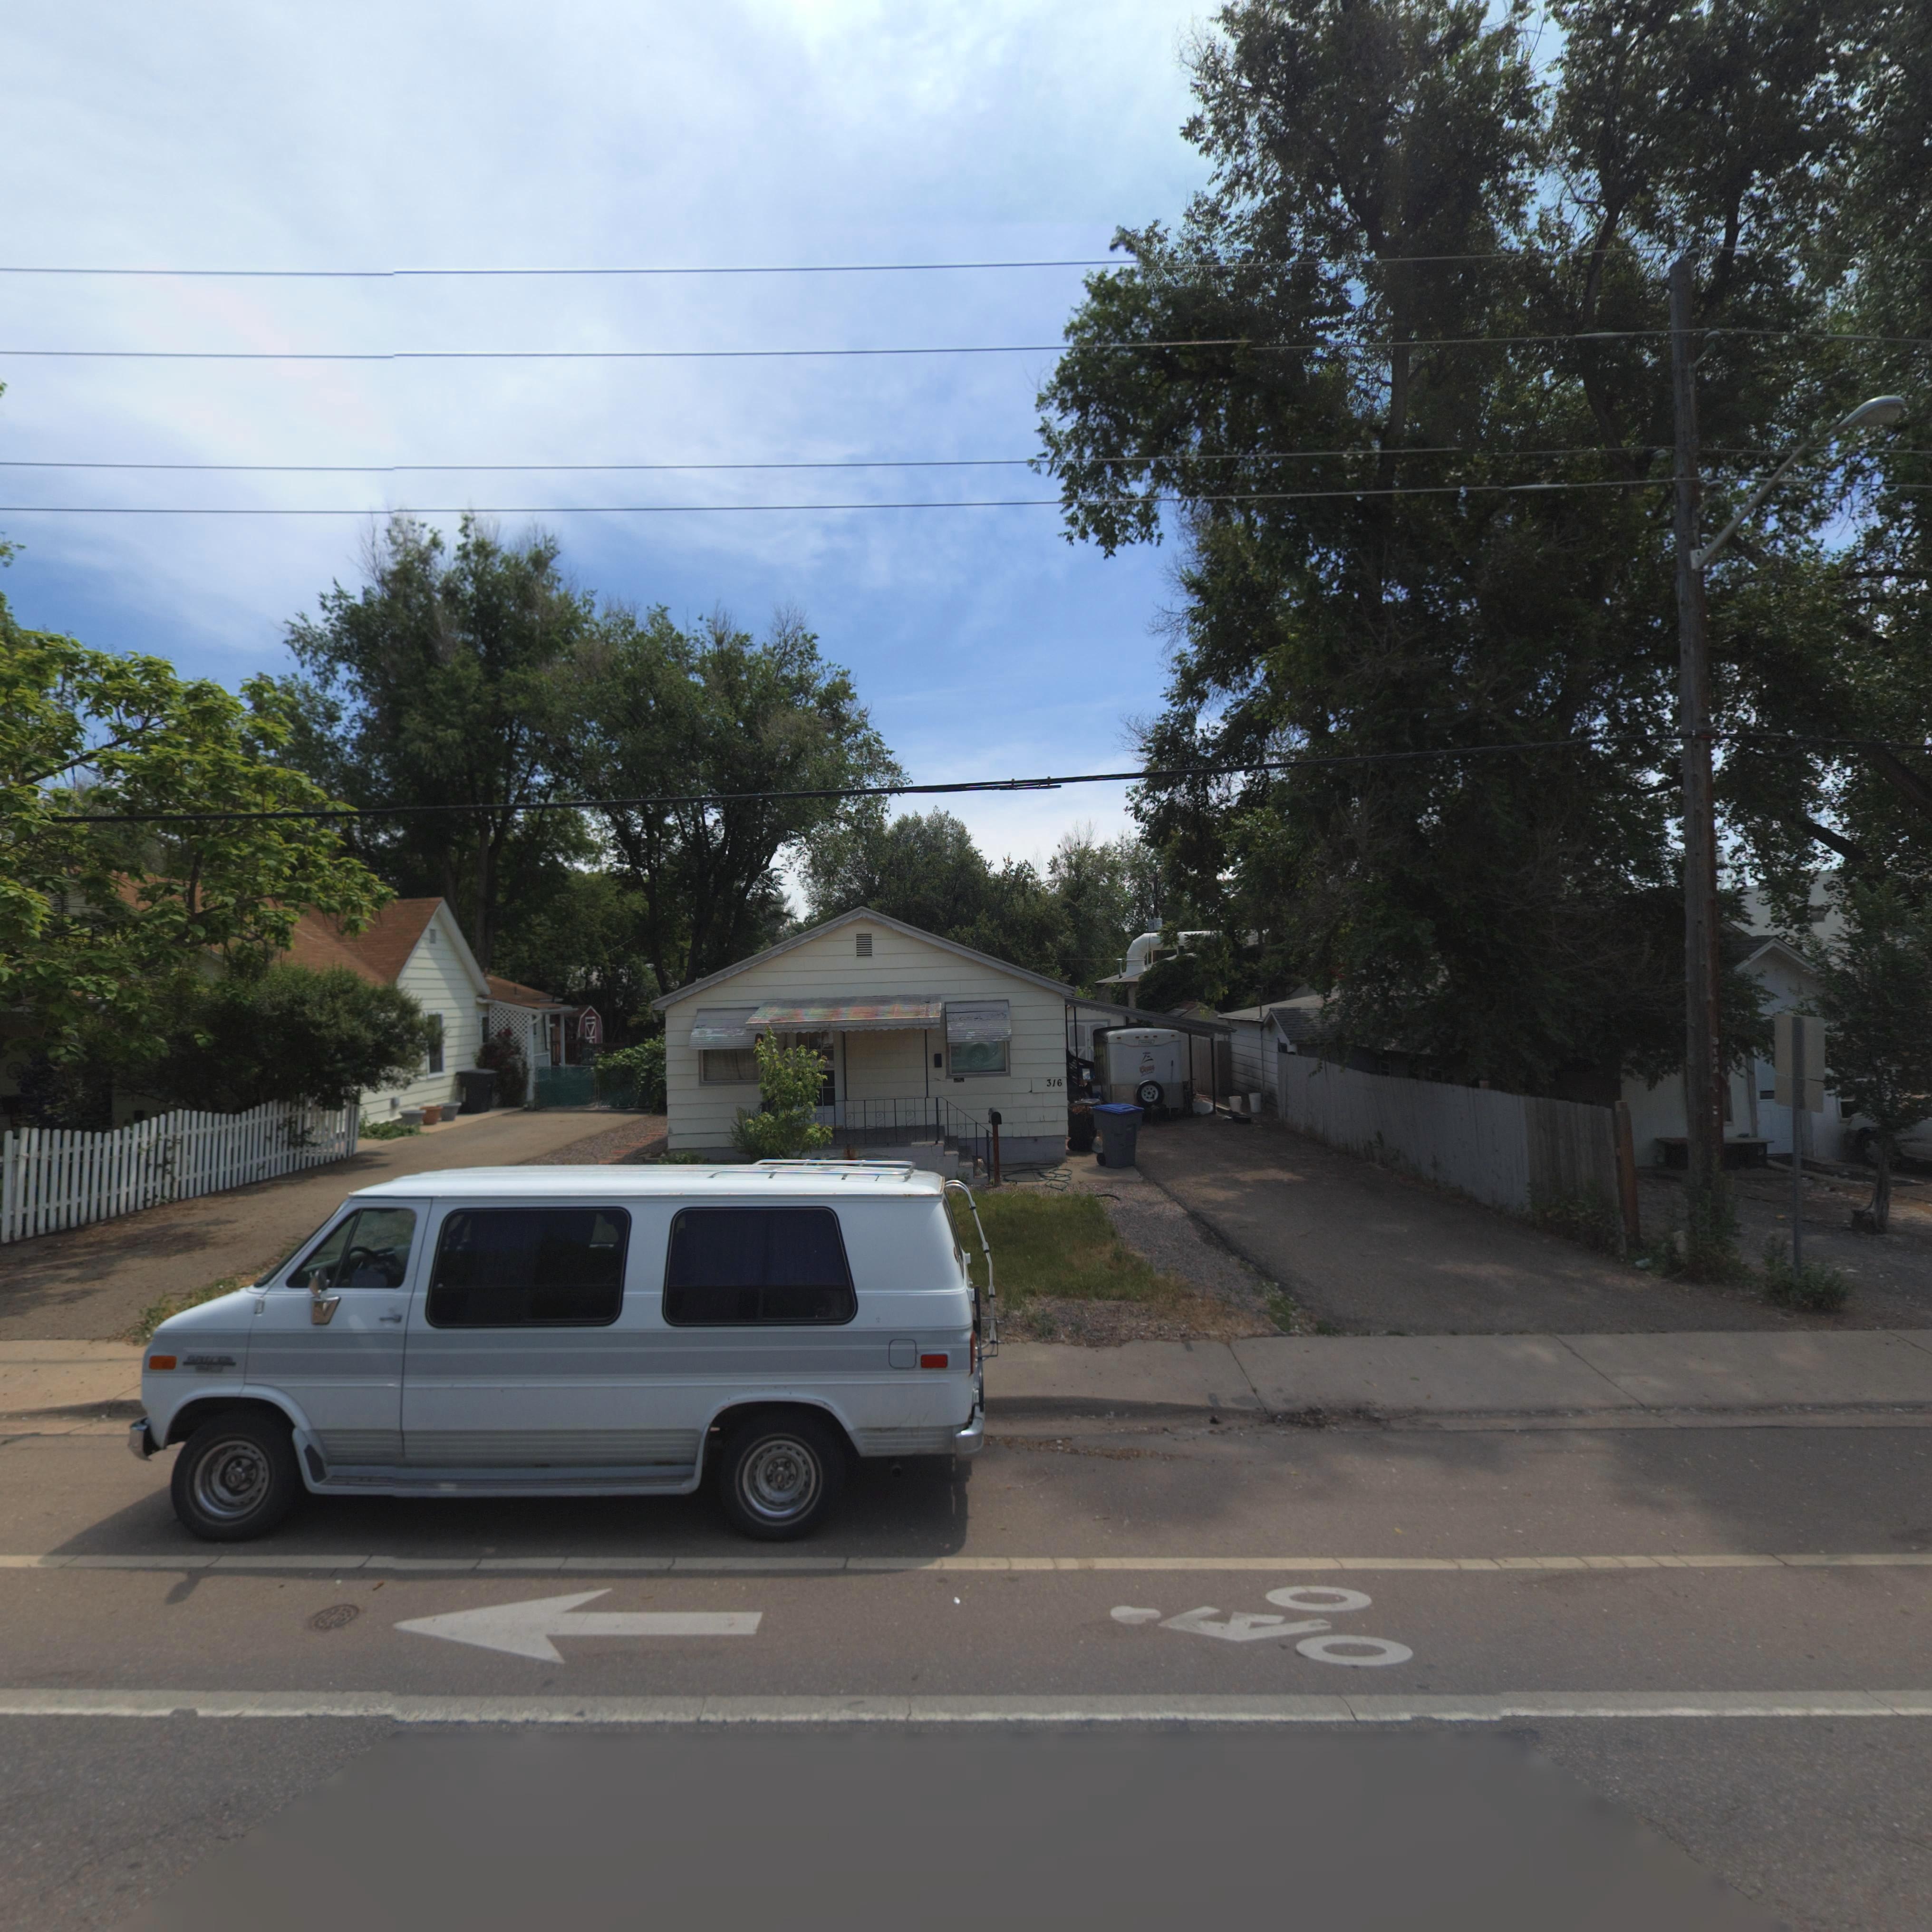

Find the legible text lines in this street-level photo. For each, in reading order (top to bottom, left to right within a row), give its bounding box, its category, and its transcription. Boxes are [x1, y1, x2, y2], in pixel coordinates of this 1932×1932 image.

[1045, 1077, 1063, 1087] StreetNumber: 316